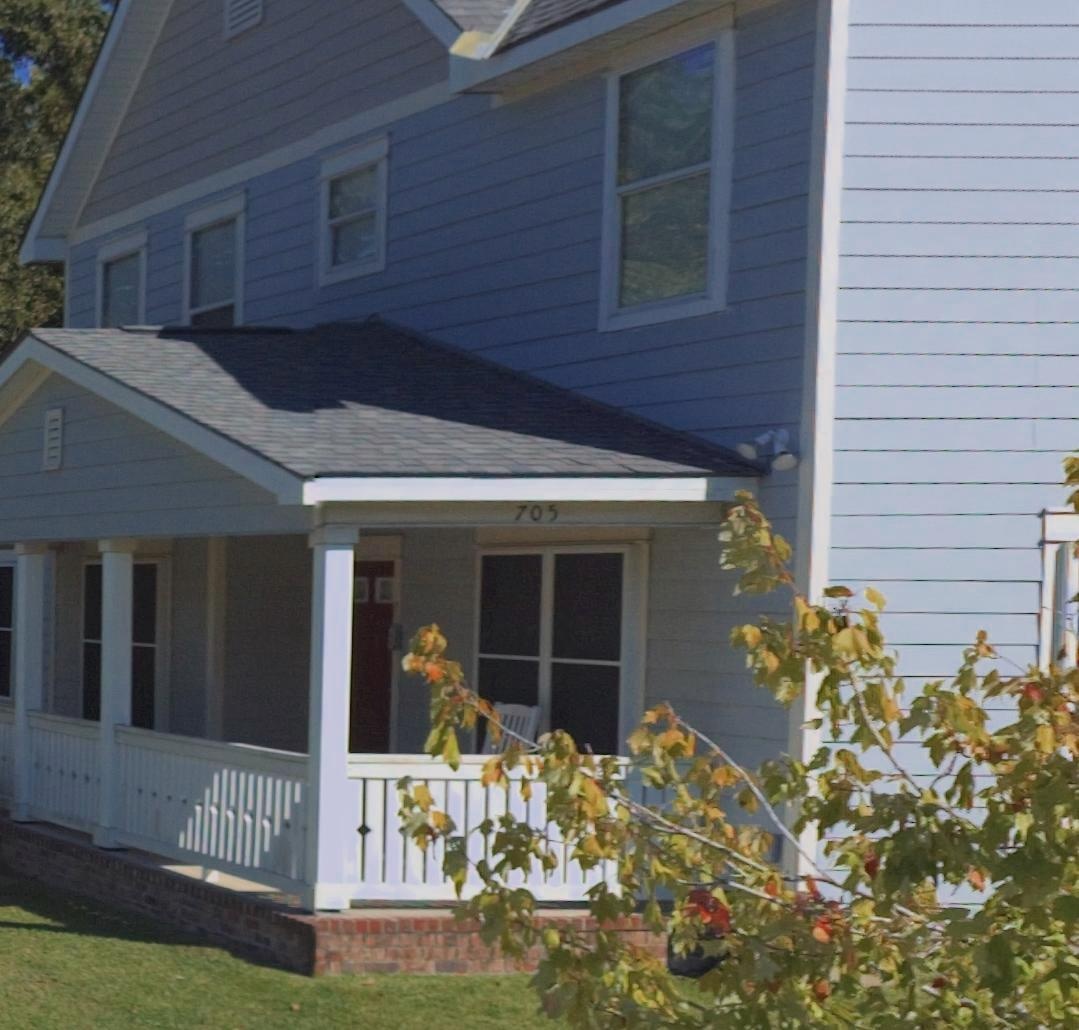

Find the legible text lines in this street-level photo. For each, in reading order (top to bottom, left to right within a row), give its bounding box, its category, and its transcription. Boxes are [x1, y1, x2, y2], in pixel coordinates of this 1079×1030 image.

[510, 501, 561, 526] StreetNumber: 705